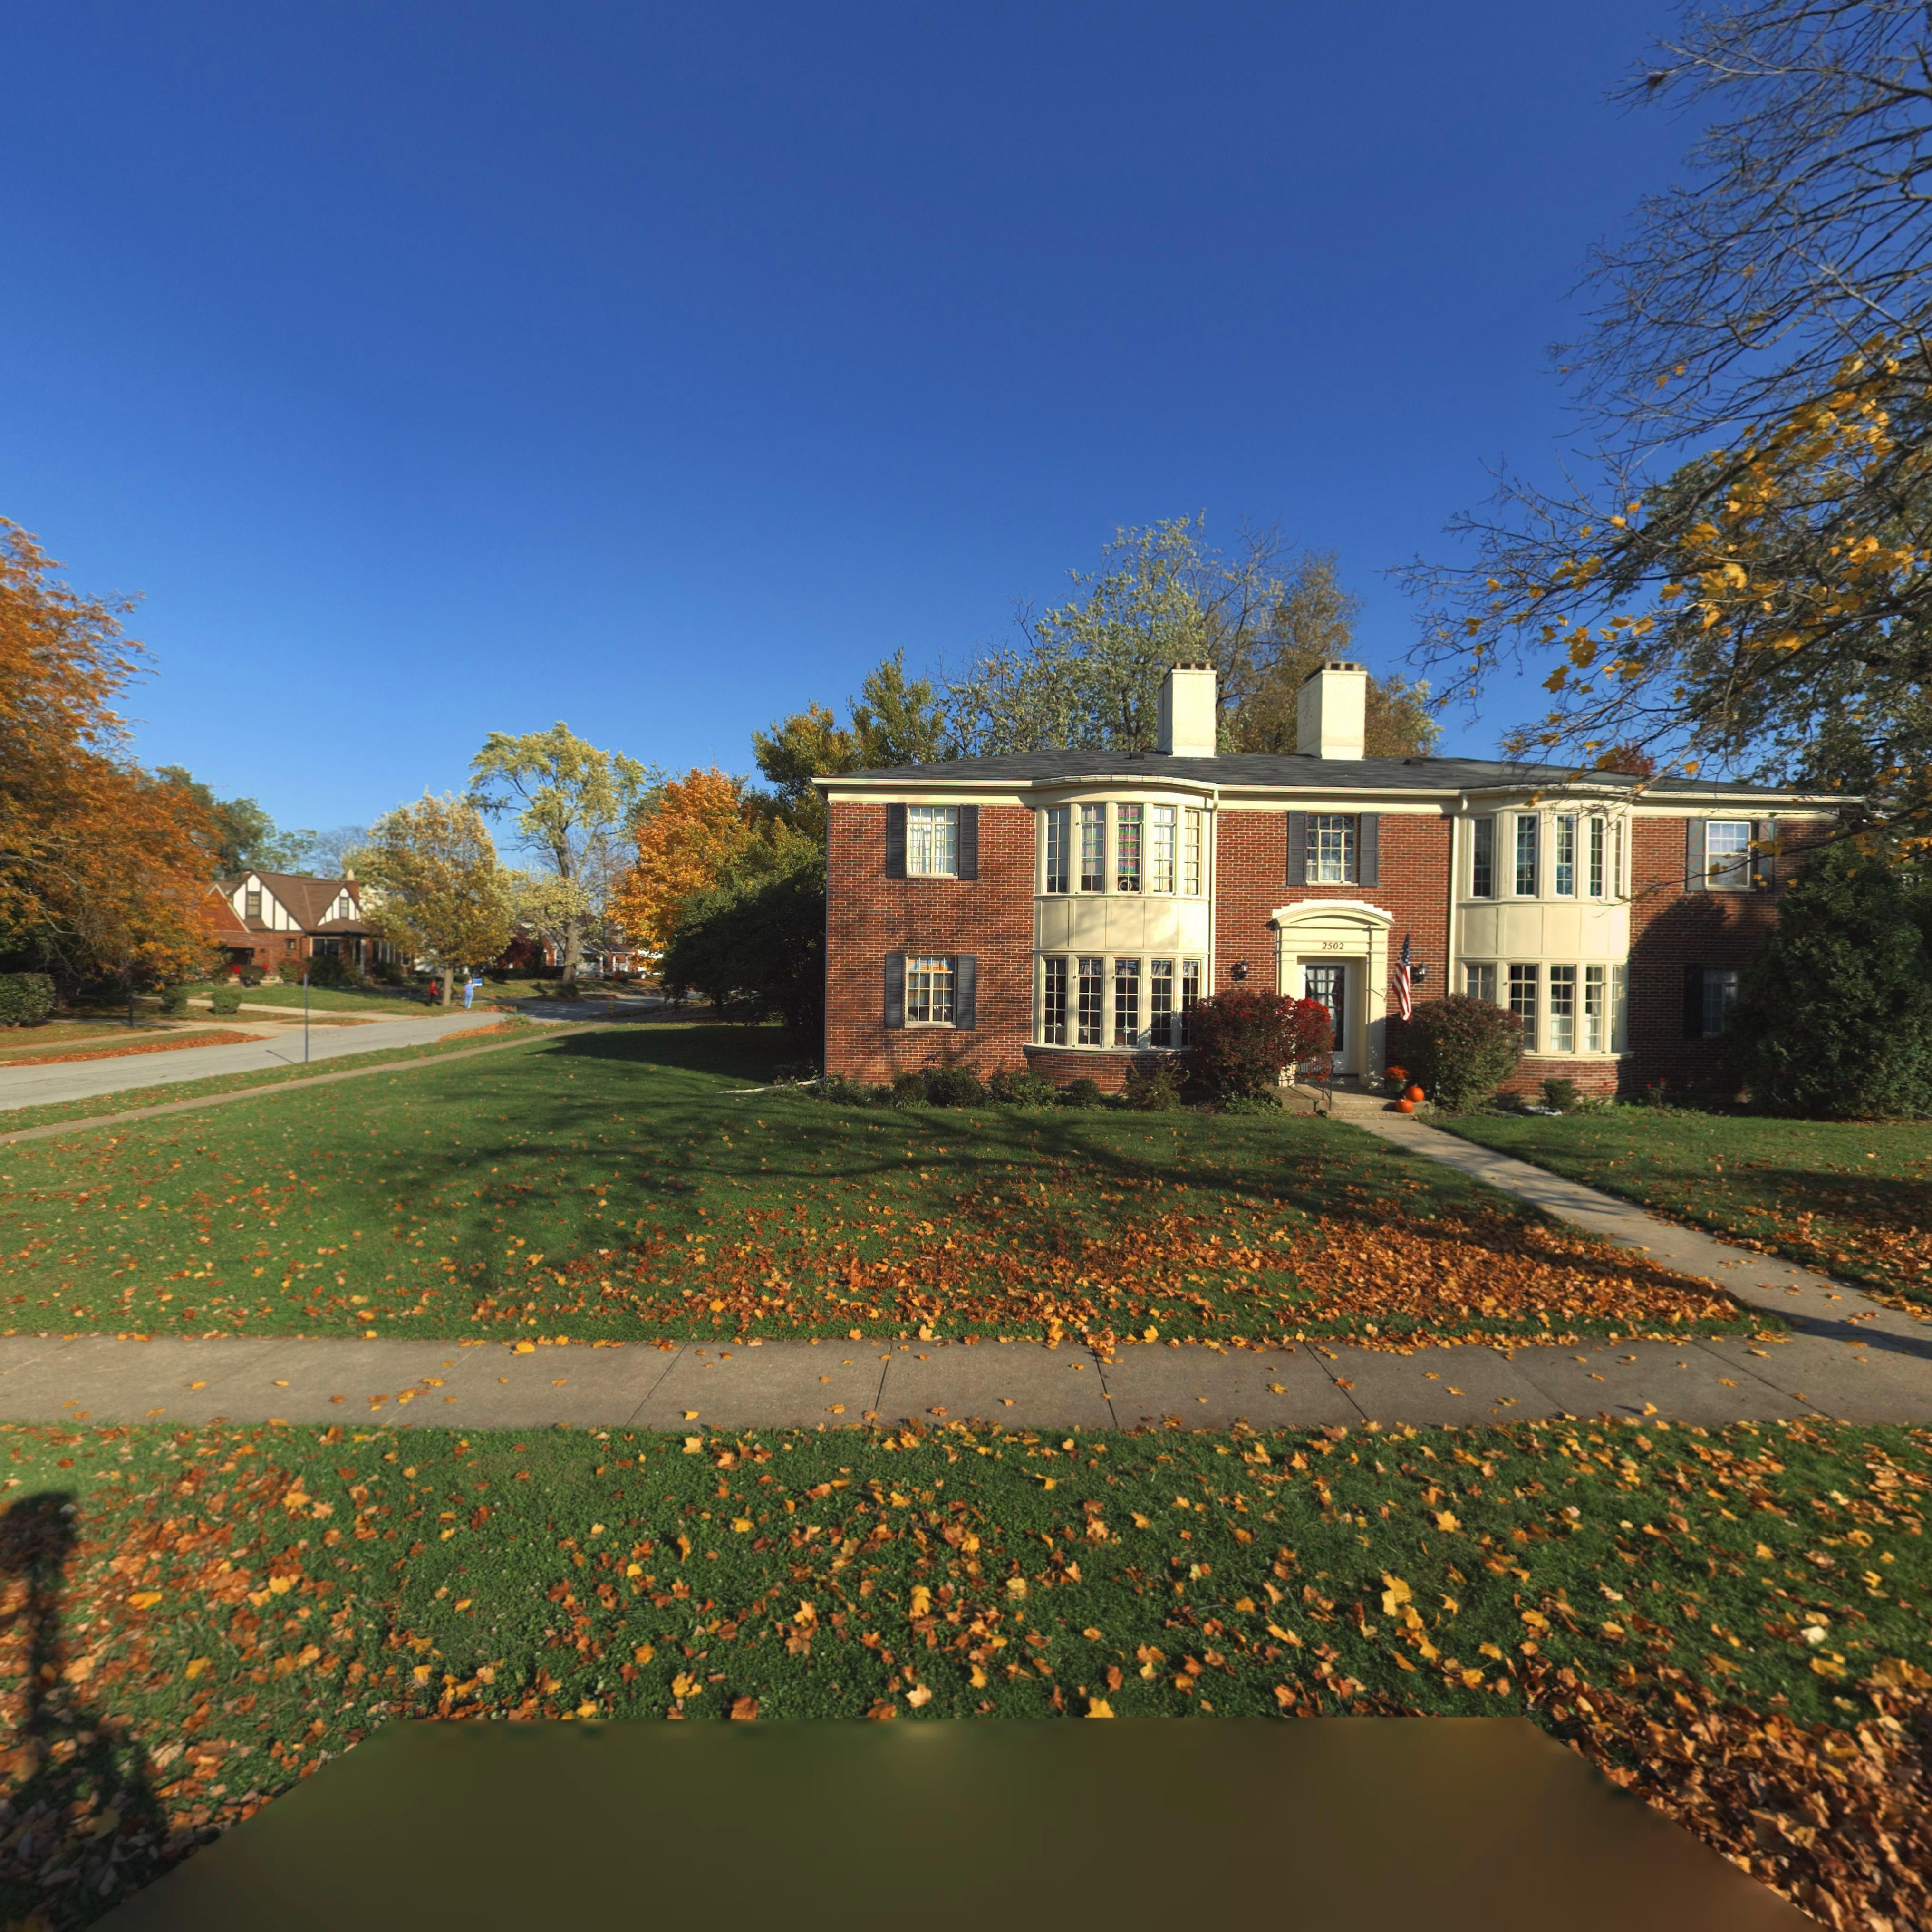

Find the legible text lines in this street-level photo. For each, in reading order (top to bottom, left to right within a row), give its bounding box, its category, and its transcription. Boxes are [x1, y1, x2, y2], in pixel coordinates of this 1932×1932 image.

[1320, 940, 1345, 951] StreetNumber: 2502